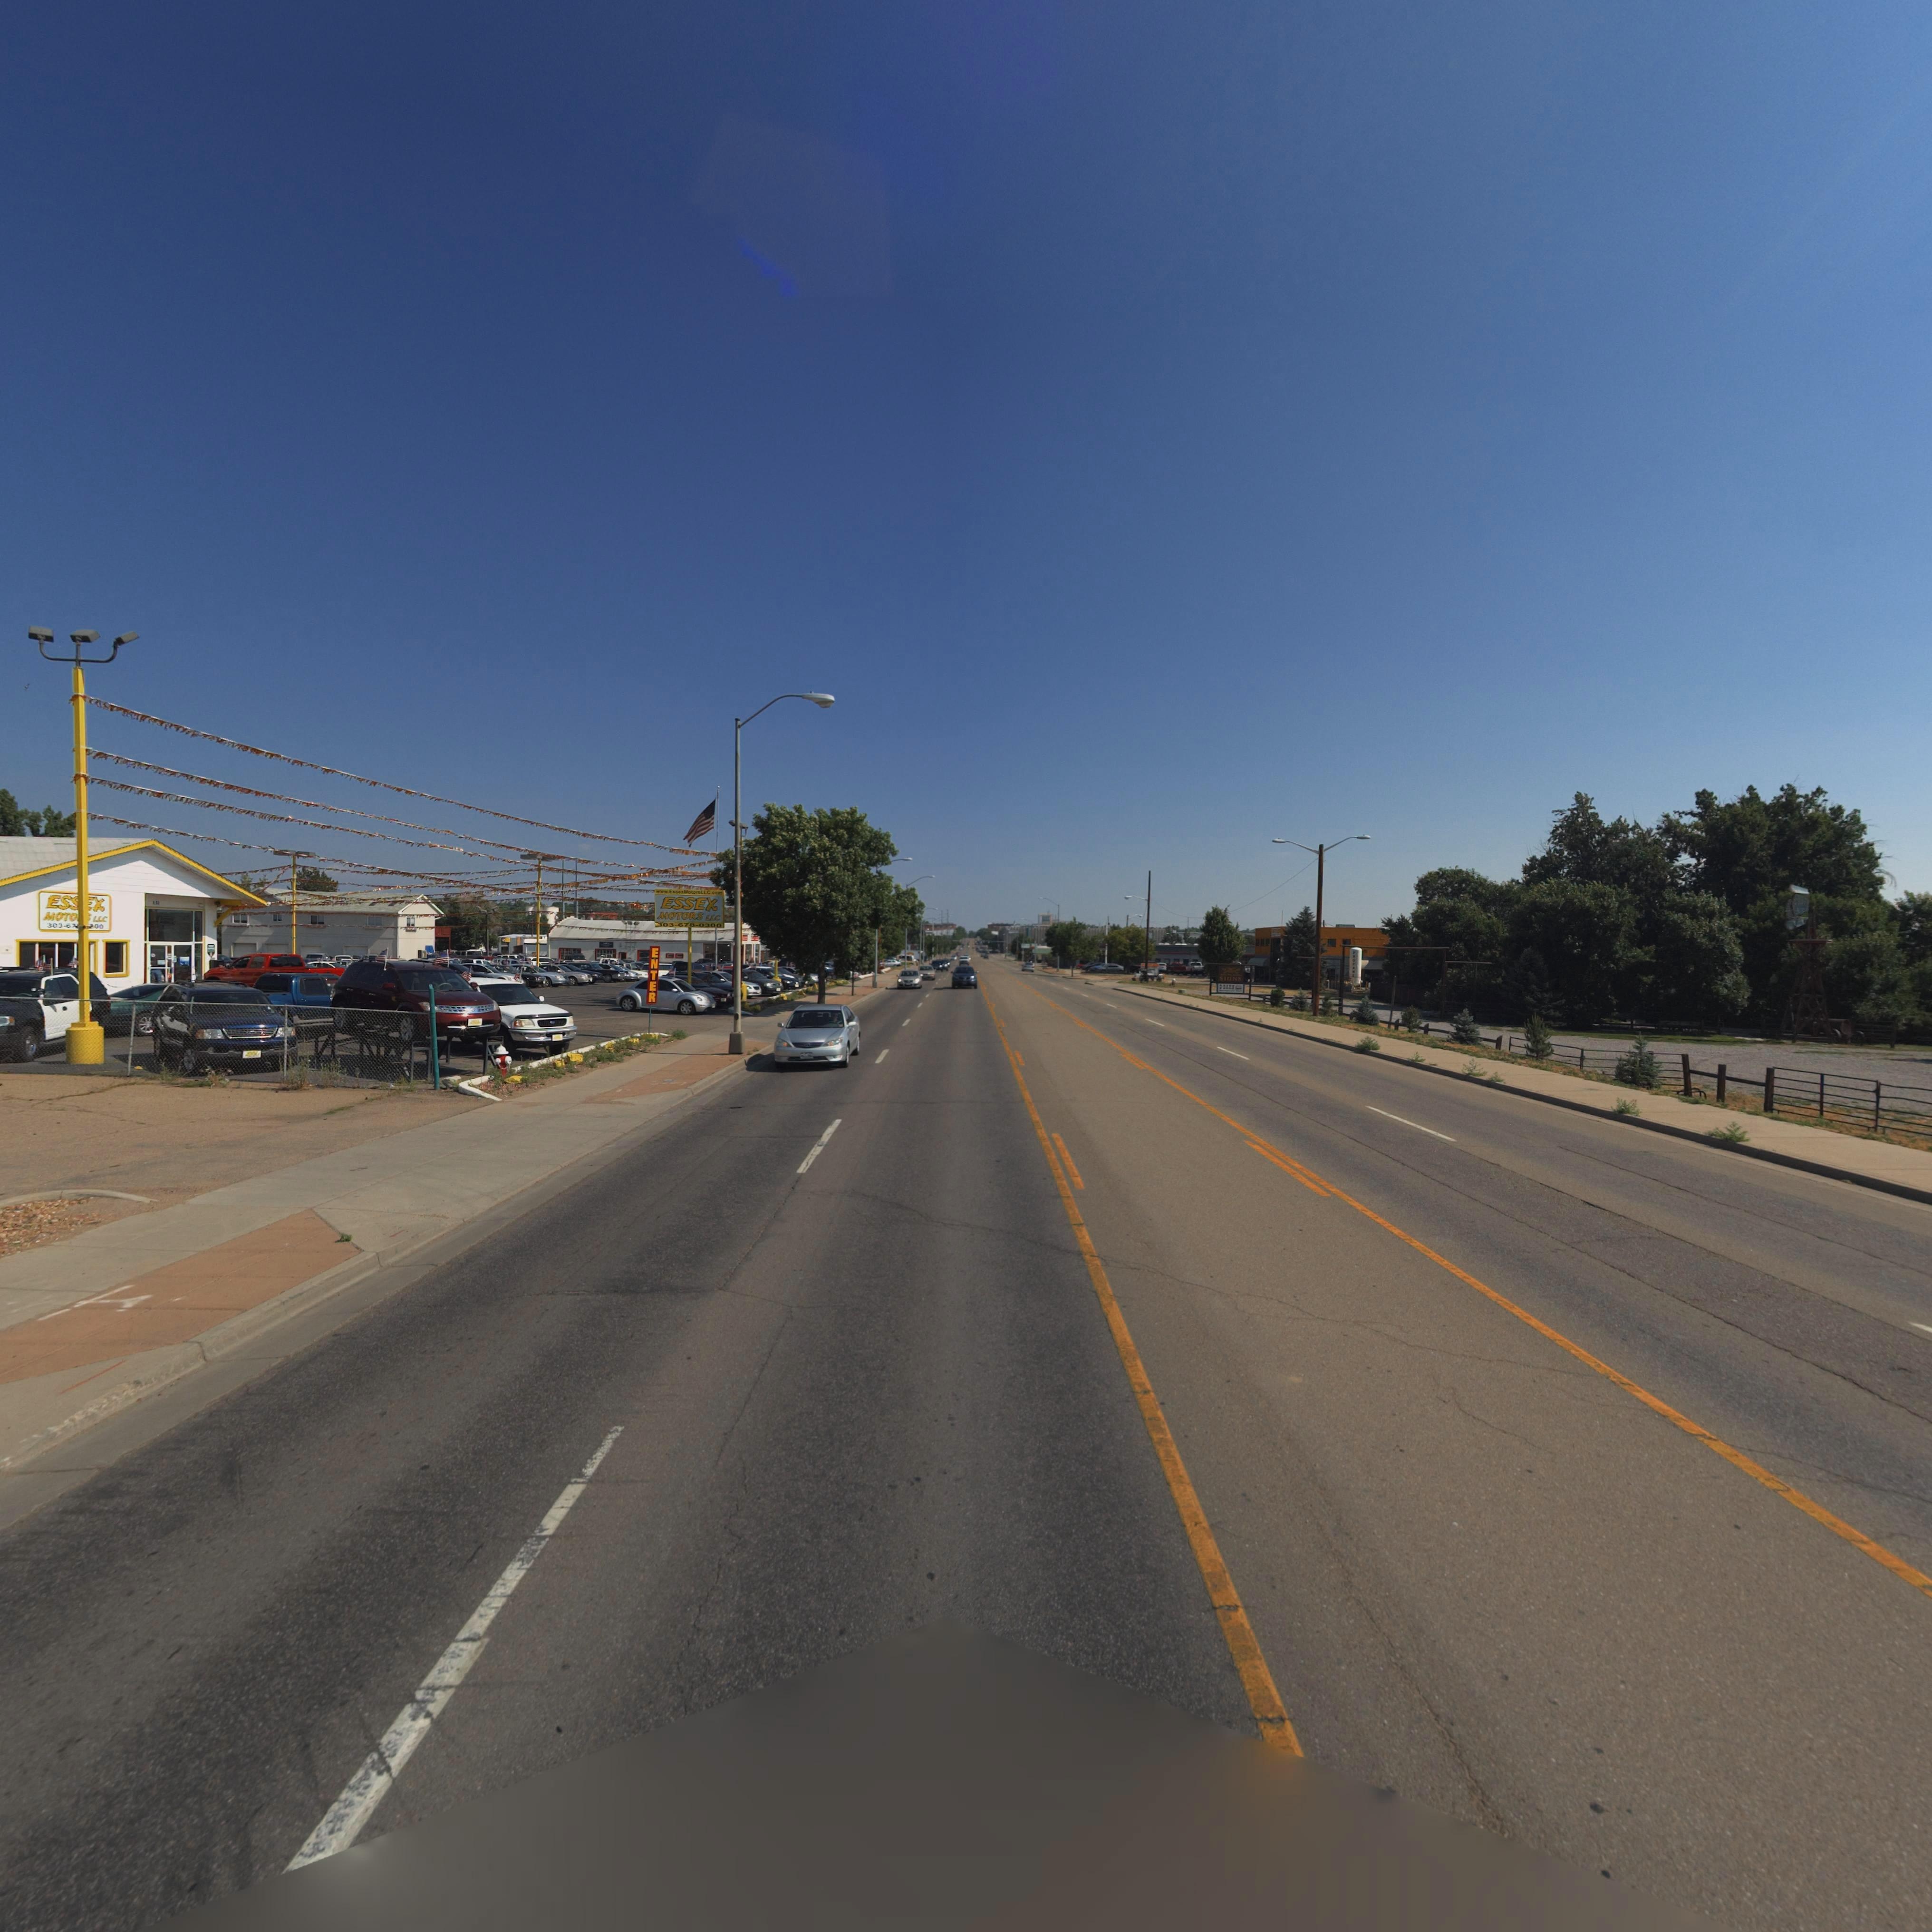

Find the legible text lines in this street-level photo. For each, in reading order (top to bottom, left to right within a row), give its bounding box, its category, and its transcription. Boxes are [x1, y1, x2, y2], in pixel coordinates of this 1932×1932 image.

[45, 895, 105, 912] BusinessName: ES**X
[152, 900, 160, 905] StreetNumber: 1**
[660, 896, 718, 911] BusinessName: ESSEX
[42, 911, 92, 922] BusinessName: MOTO**
[93, 915, 107, 923] BusinessName: LCC
[657, 911, 704, 920] BusinessName: MOTORS
[705, 914, 721, 920] BusinessName: LLC